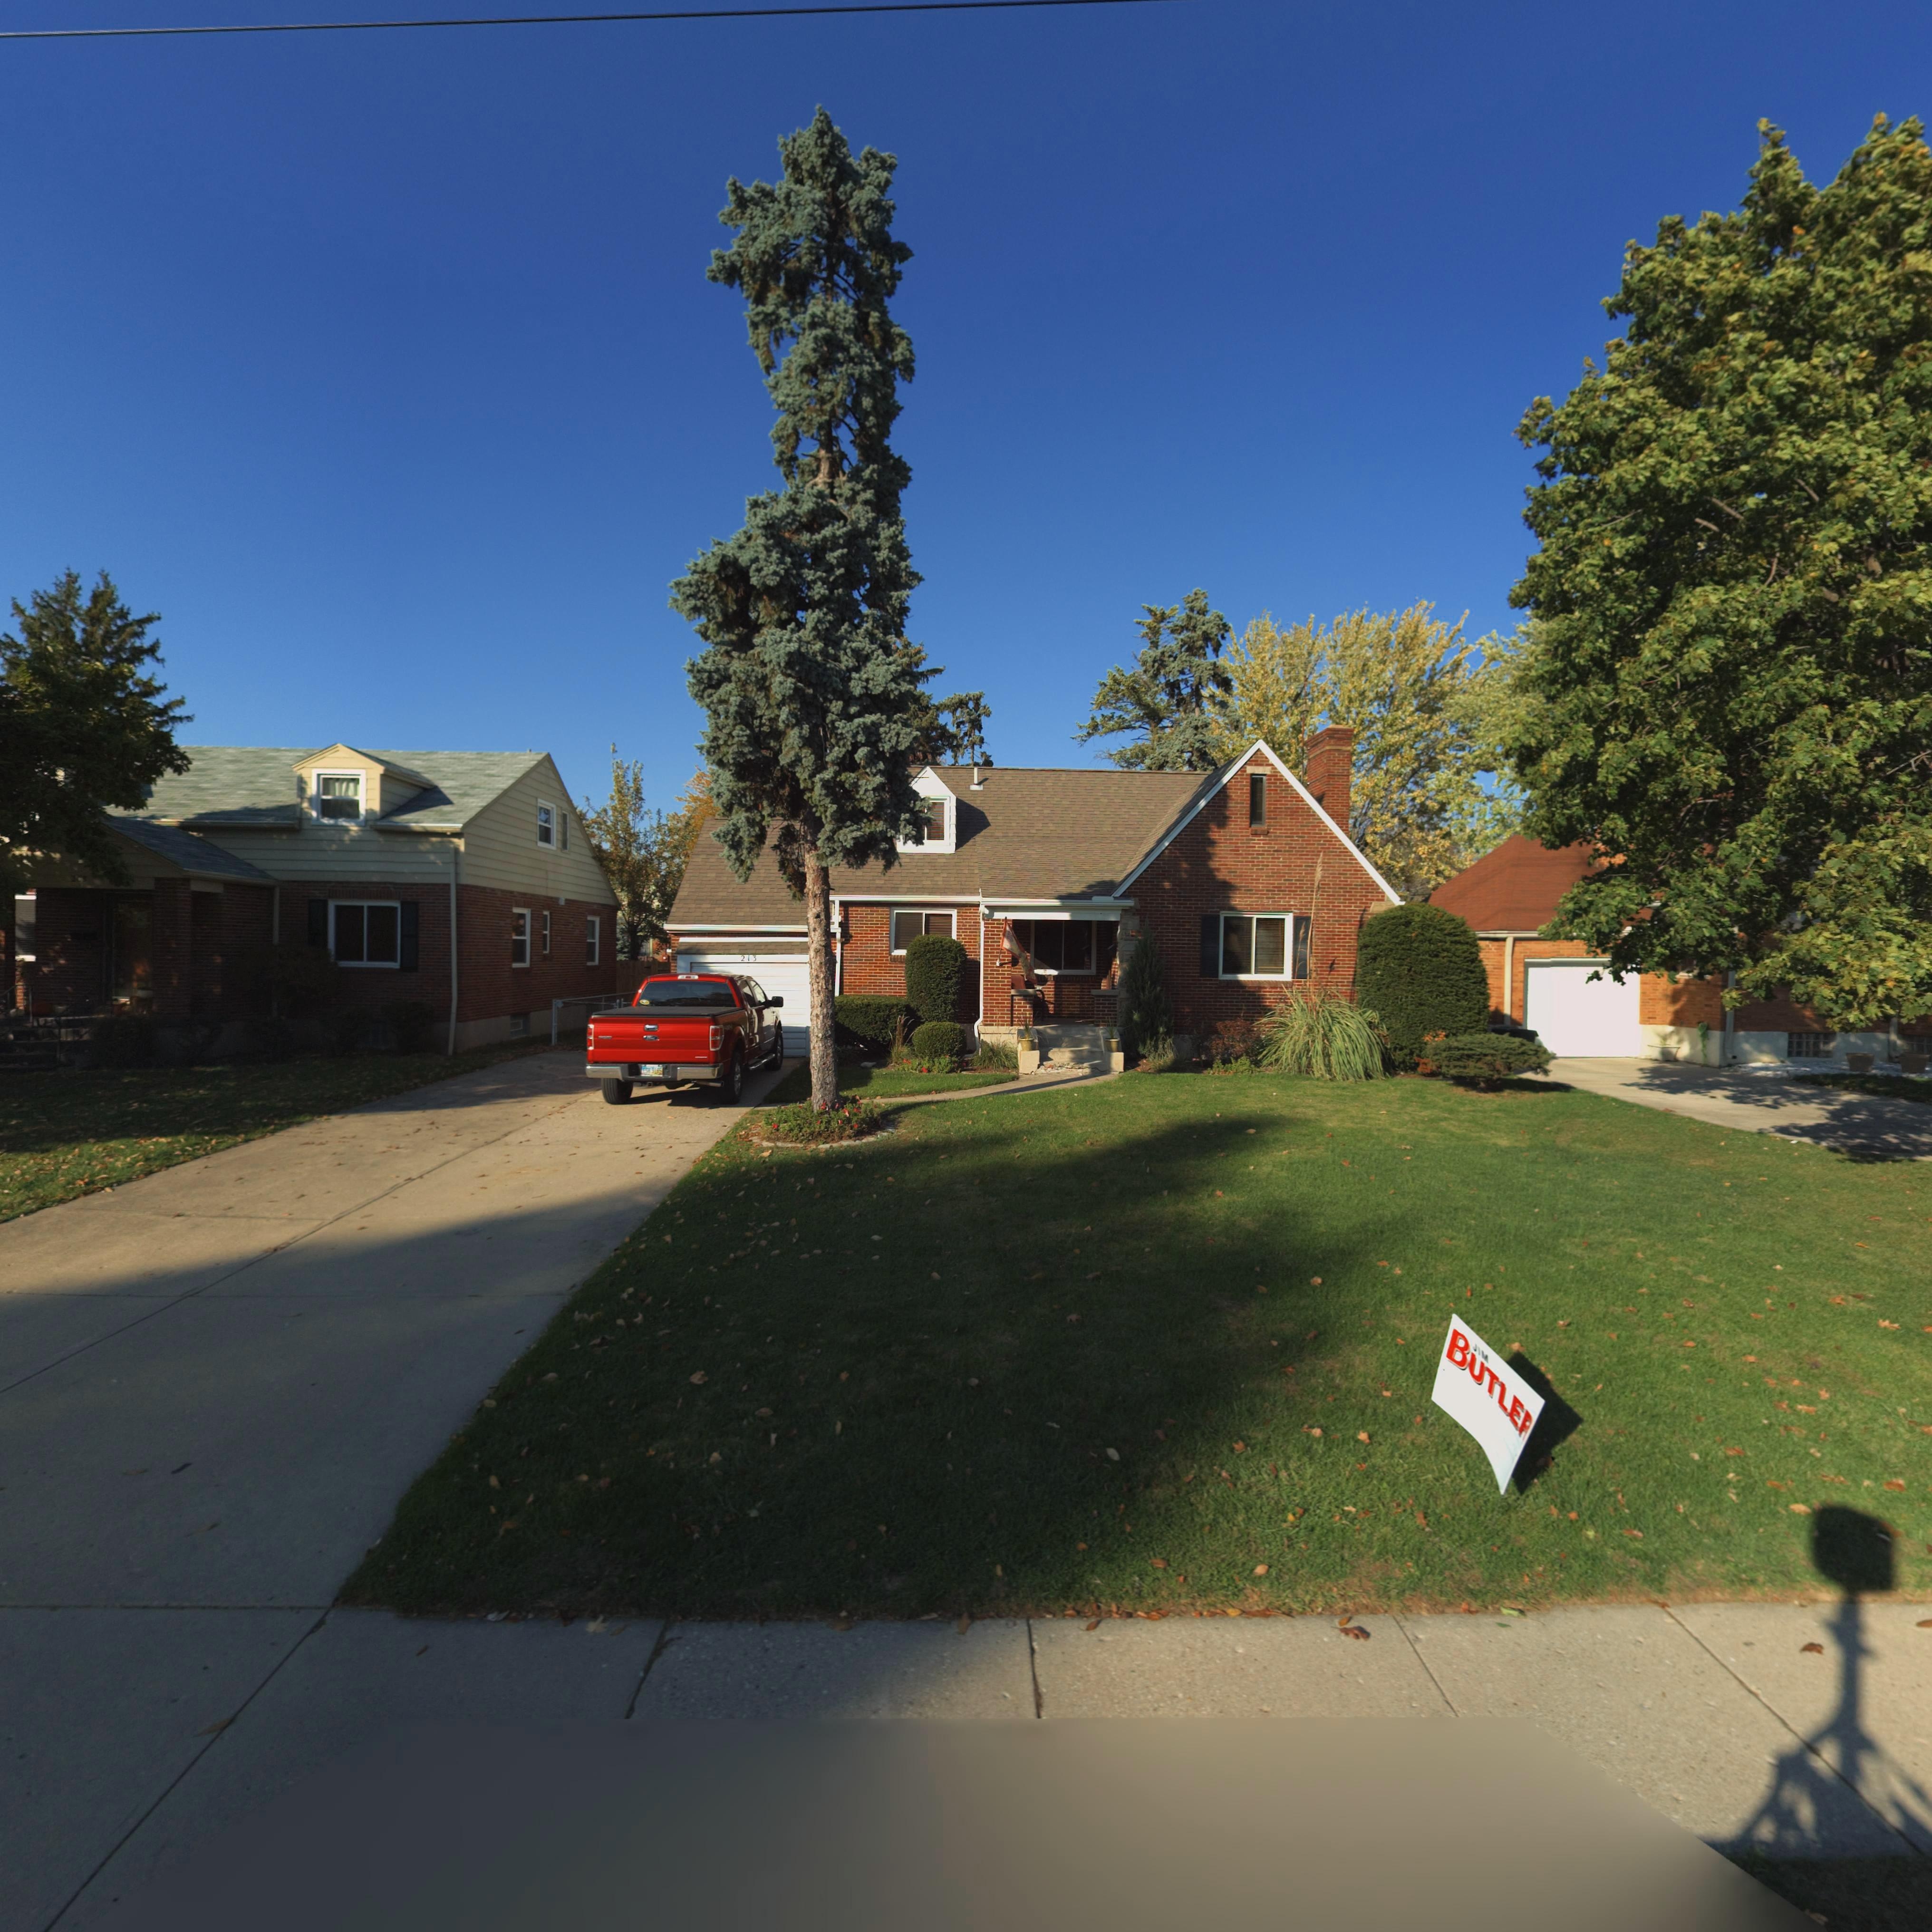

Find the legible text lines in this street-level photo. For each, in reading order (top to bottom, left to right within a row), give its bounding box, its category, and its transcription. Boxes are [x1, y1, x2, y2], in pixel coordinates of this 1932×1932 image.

[739, 954, 758, 963] StreetNumber: 213
[1470, 1341, 1490, 1366] None: JIM
[1444, 1326, 1526, 1430] None: BUTLE